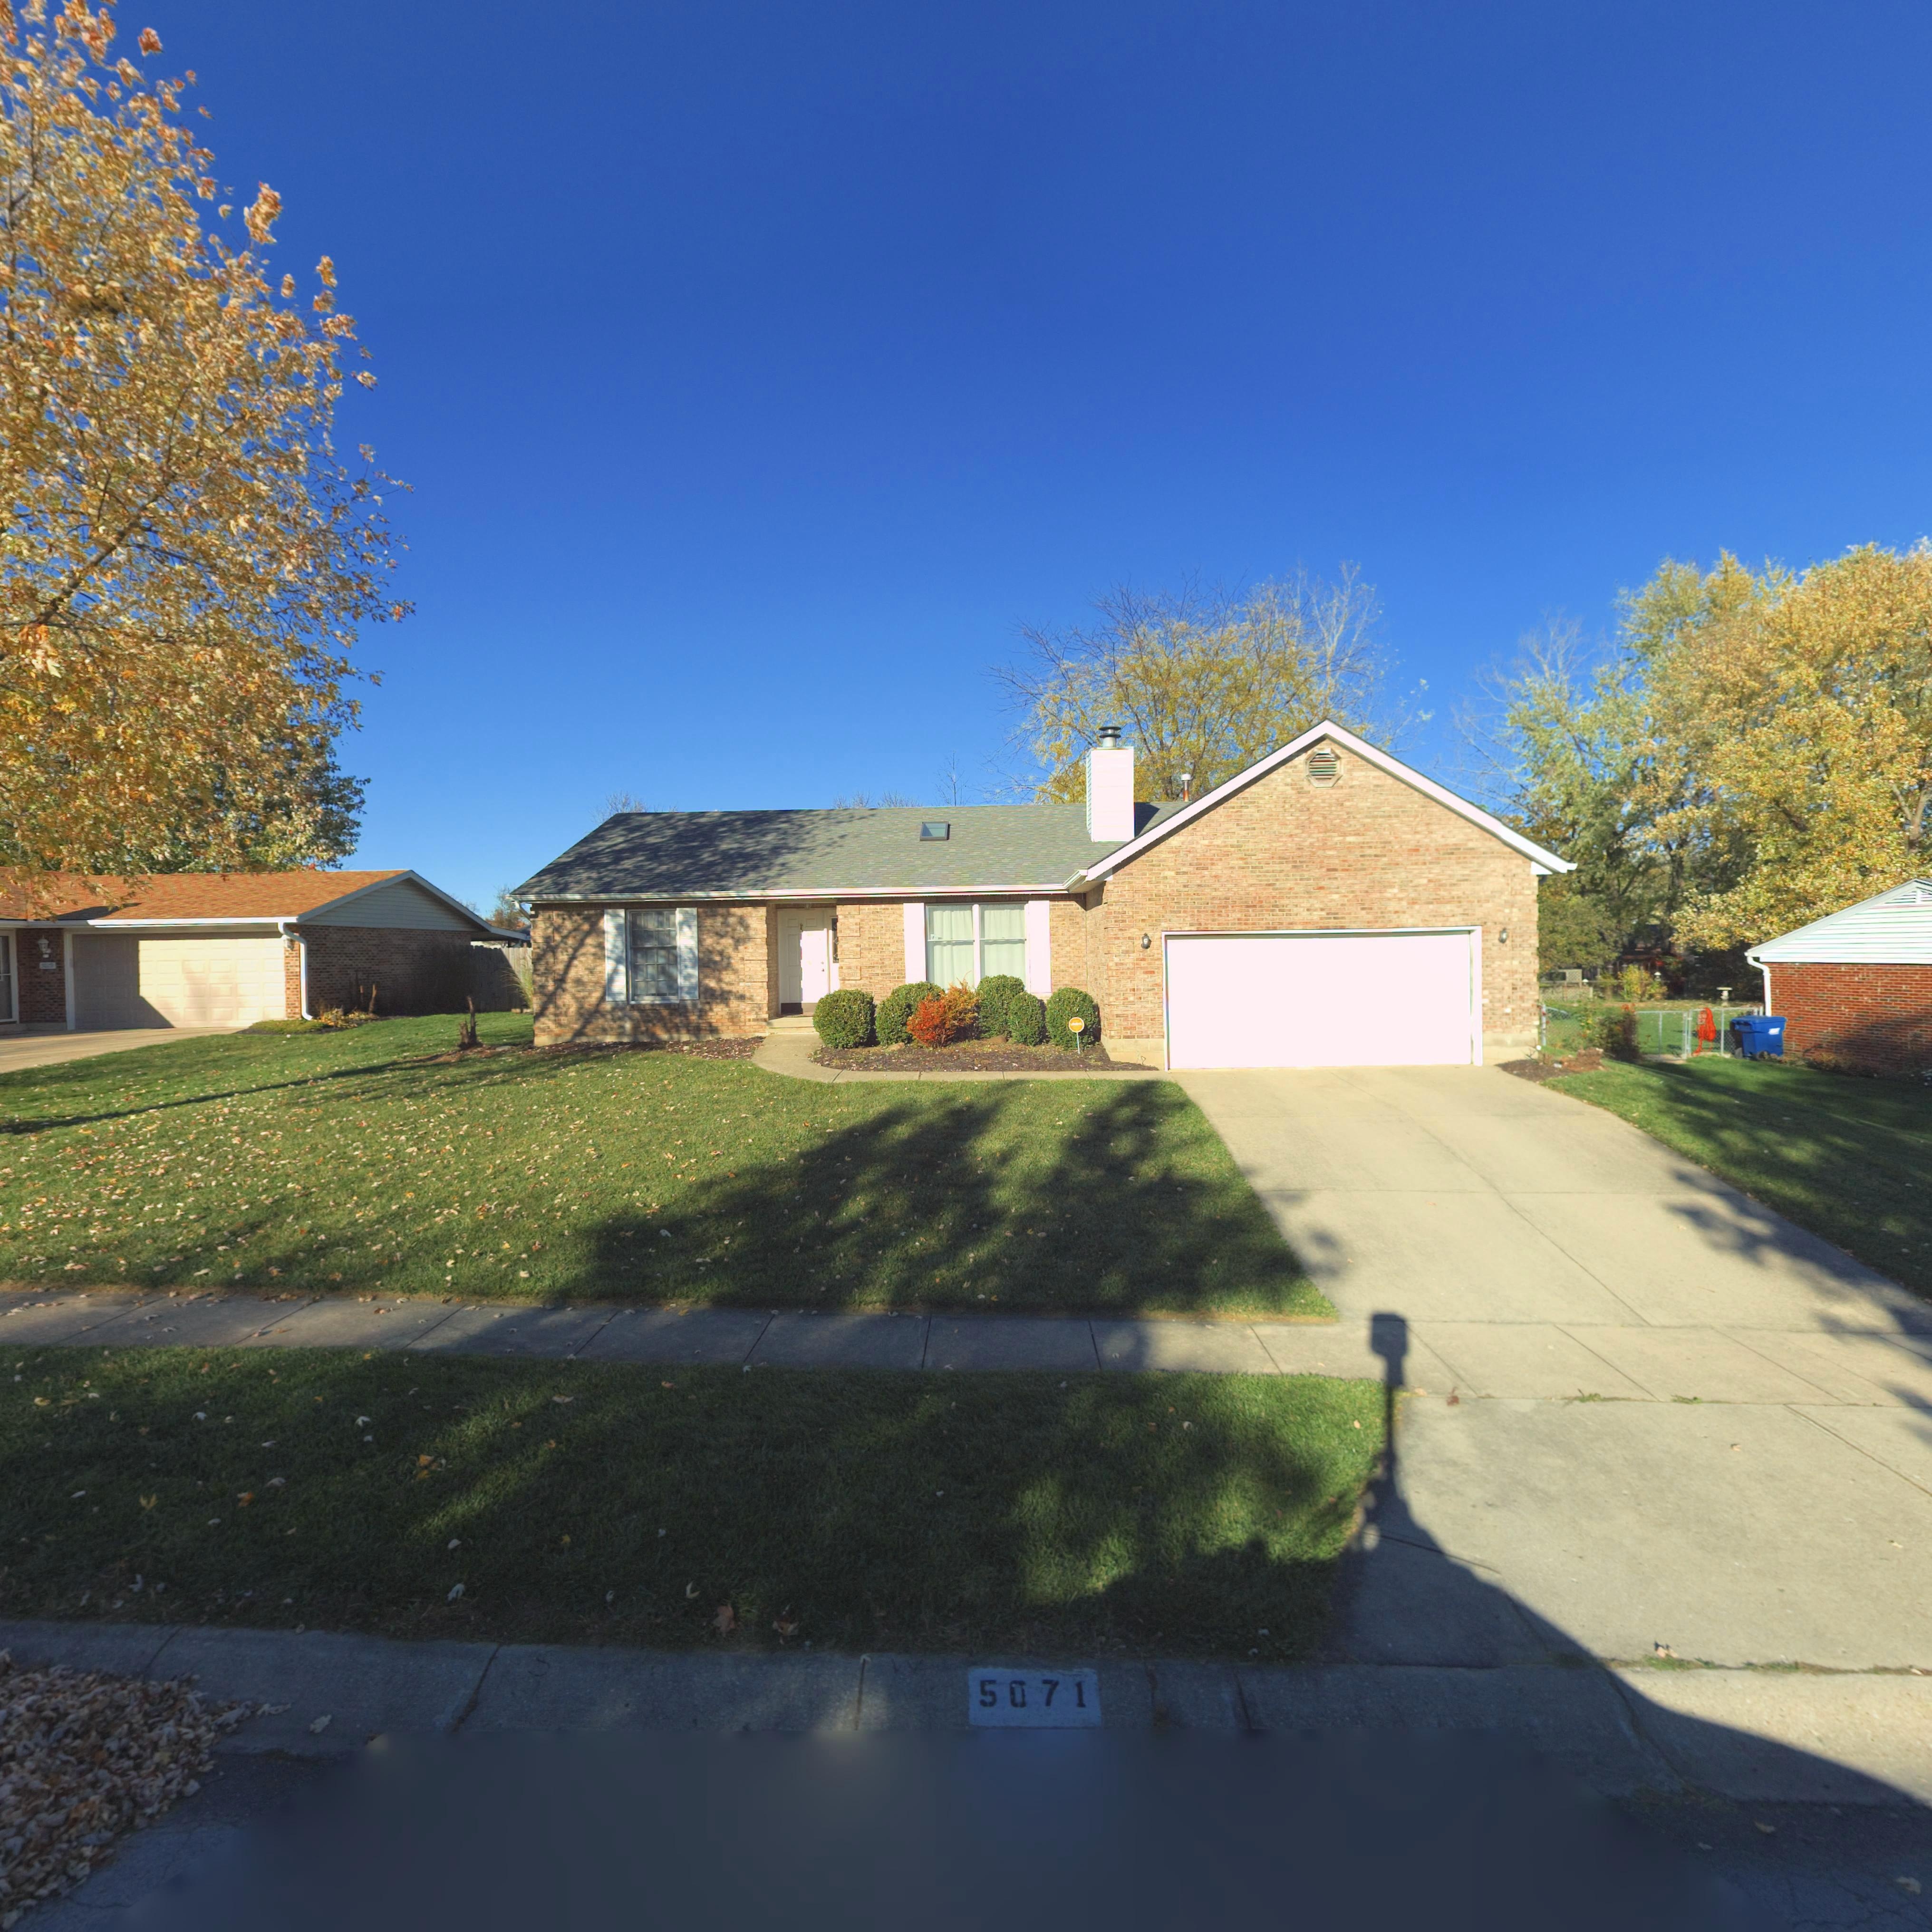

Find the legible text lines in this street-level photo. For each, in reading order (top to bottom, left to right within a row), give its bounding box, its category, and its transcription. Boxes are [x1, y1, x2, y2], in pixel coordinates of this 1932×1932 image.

[40, 963, 54, 968] StreetNumber: 5**9
[977, 1677, 1087, 1709] StreetNumber: 5071